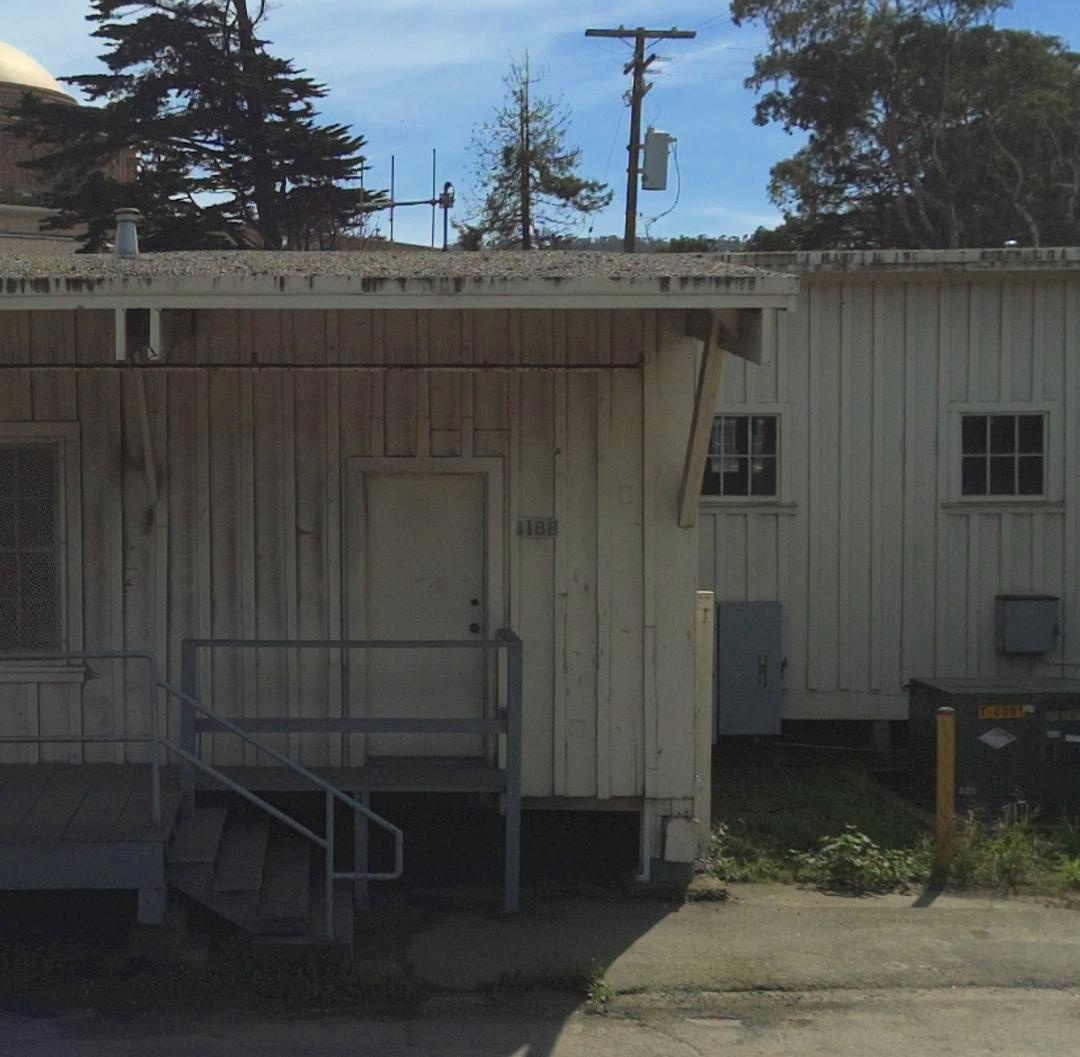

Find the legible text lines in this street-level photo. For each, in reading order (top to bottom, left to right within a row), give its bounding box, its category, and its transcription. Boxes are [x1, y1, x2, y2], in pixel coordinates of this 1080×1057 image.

[514, 518, 559, 538] StreetNumber: 1188
[979, 704, 1025, 719] None: T-0091